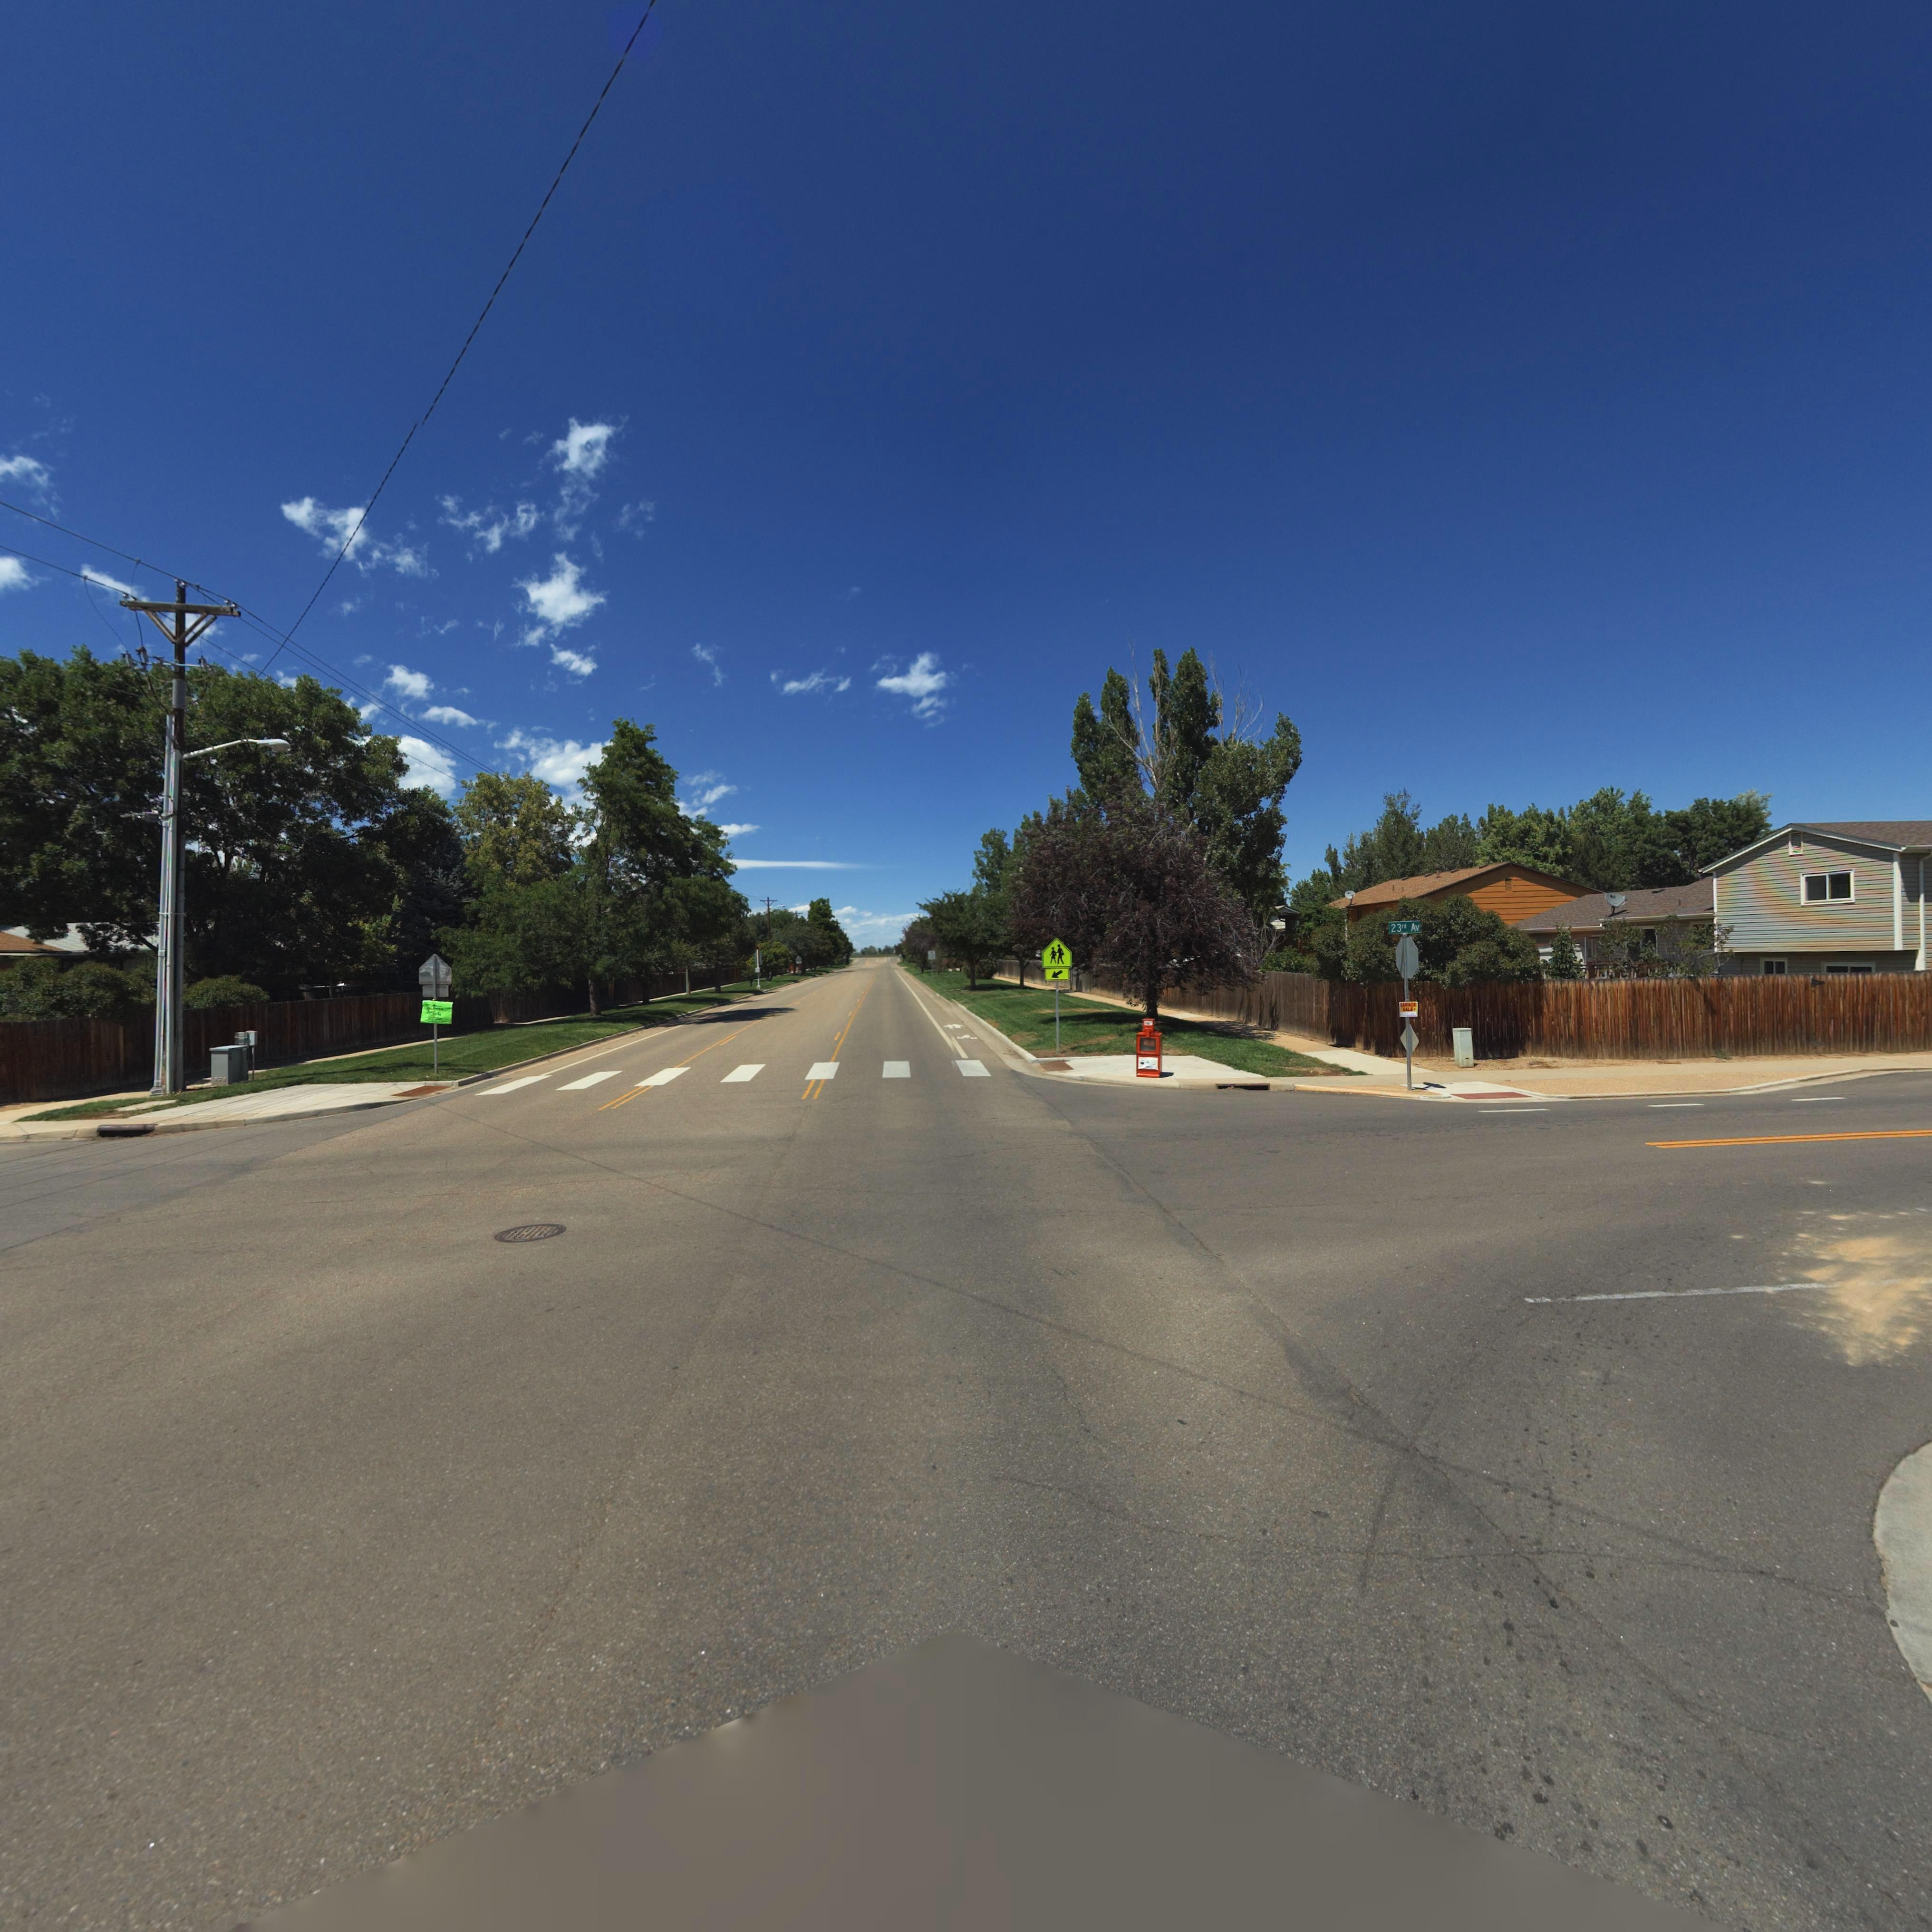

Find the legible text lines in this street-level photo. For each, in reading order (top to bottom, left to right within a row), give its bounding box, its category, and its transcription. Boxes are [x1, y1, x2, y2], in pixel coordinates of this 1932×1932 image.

[1390, 922, 1420, 933] StreetName: 23rd Av